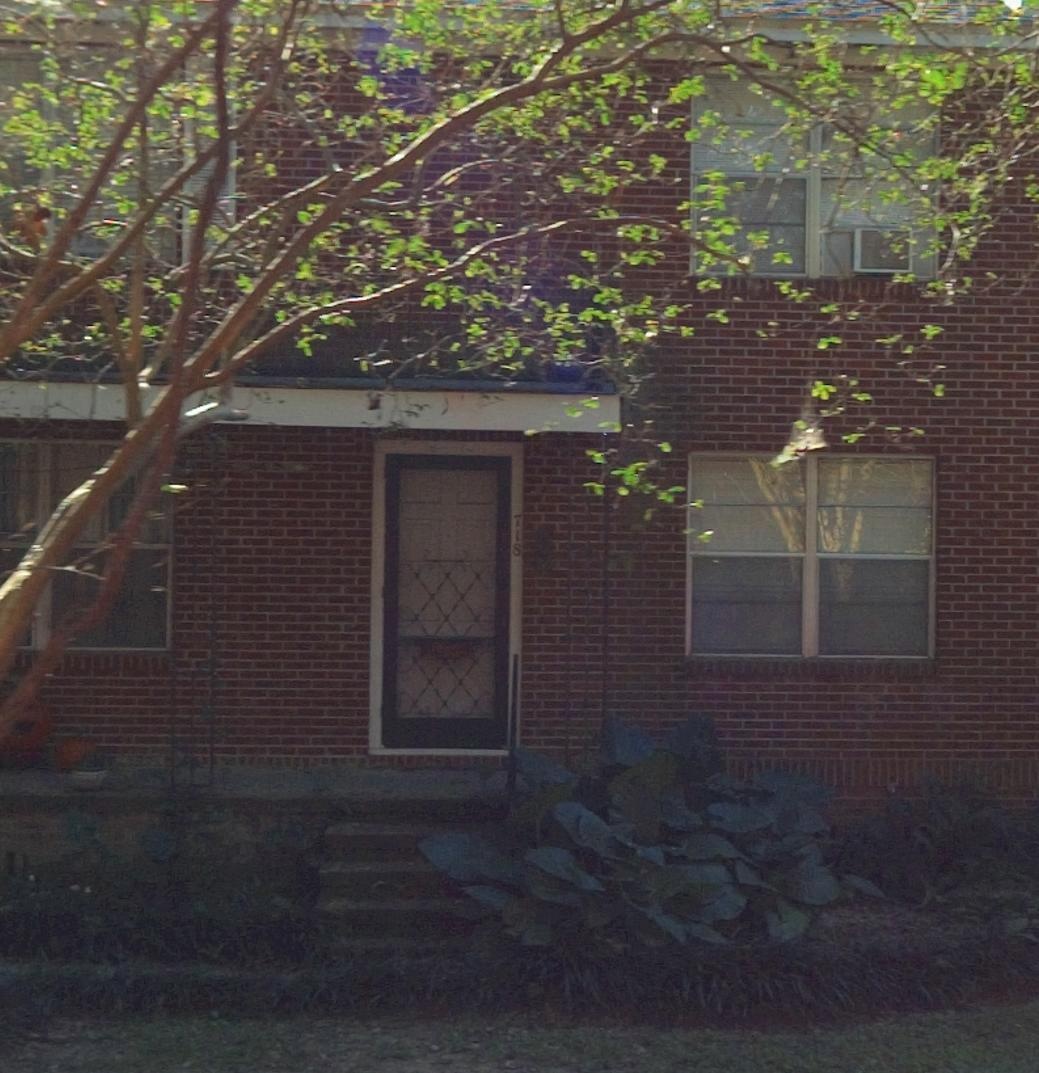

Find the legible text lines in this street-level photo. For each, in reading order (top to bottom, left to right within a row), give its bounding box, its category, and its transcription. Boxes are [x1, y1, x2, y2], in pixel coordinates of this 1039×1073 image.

[511, 509, 524, 560] StreetNumber: 718